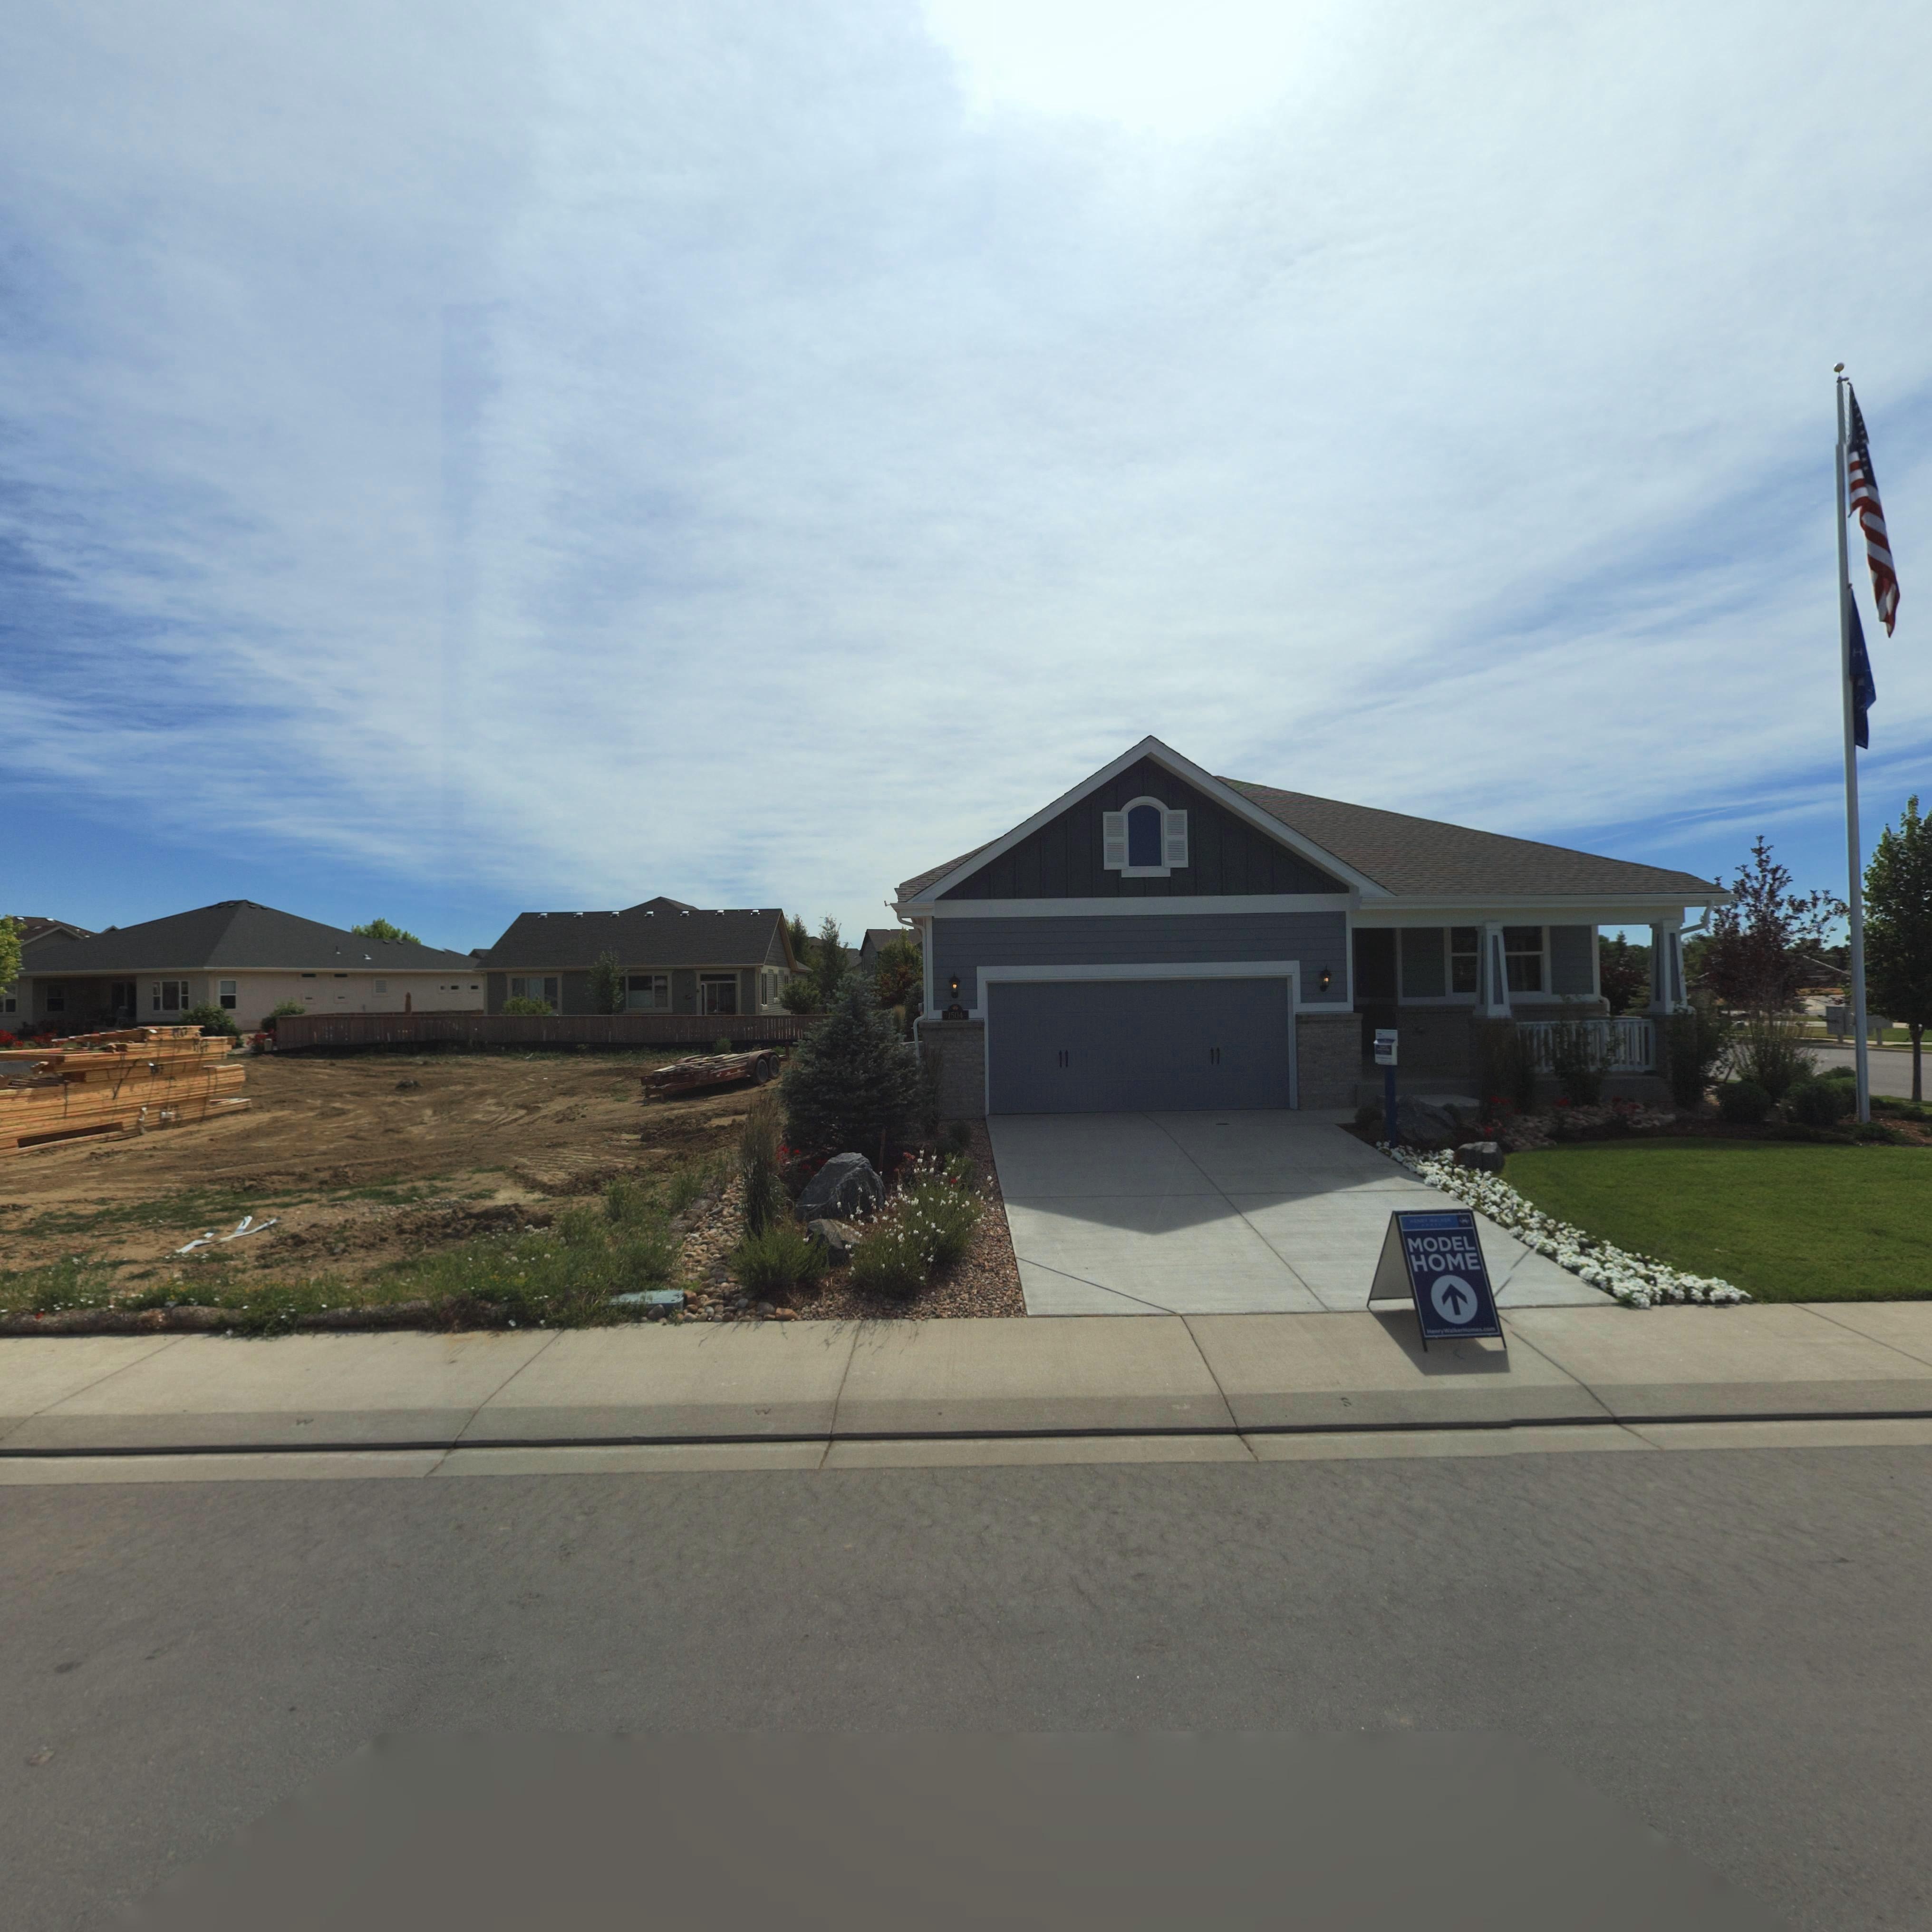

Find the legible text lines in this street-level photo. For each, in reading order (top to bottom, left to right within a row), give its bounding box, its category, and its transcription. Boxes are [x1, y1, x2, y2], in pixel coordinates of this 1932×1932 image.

[947, 1011, 964, 1019] StreetNumber: 1504